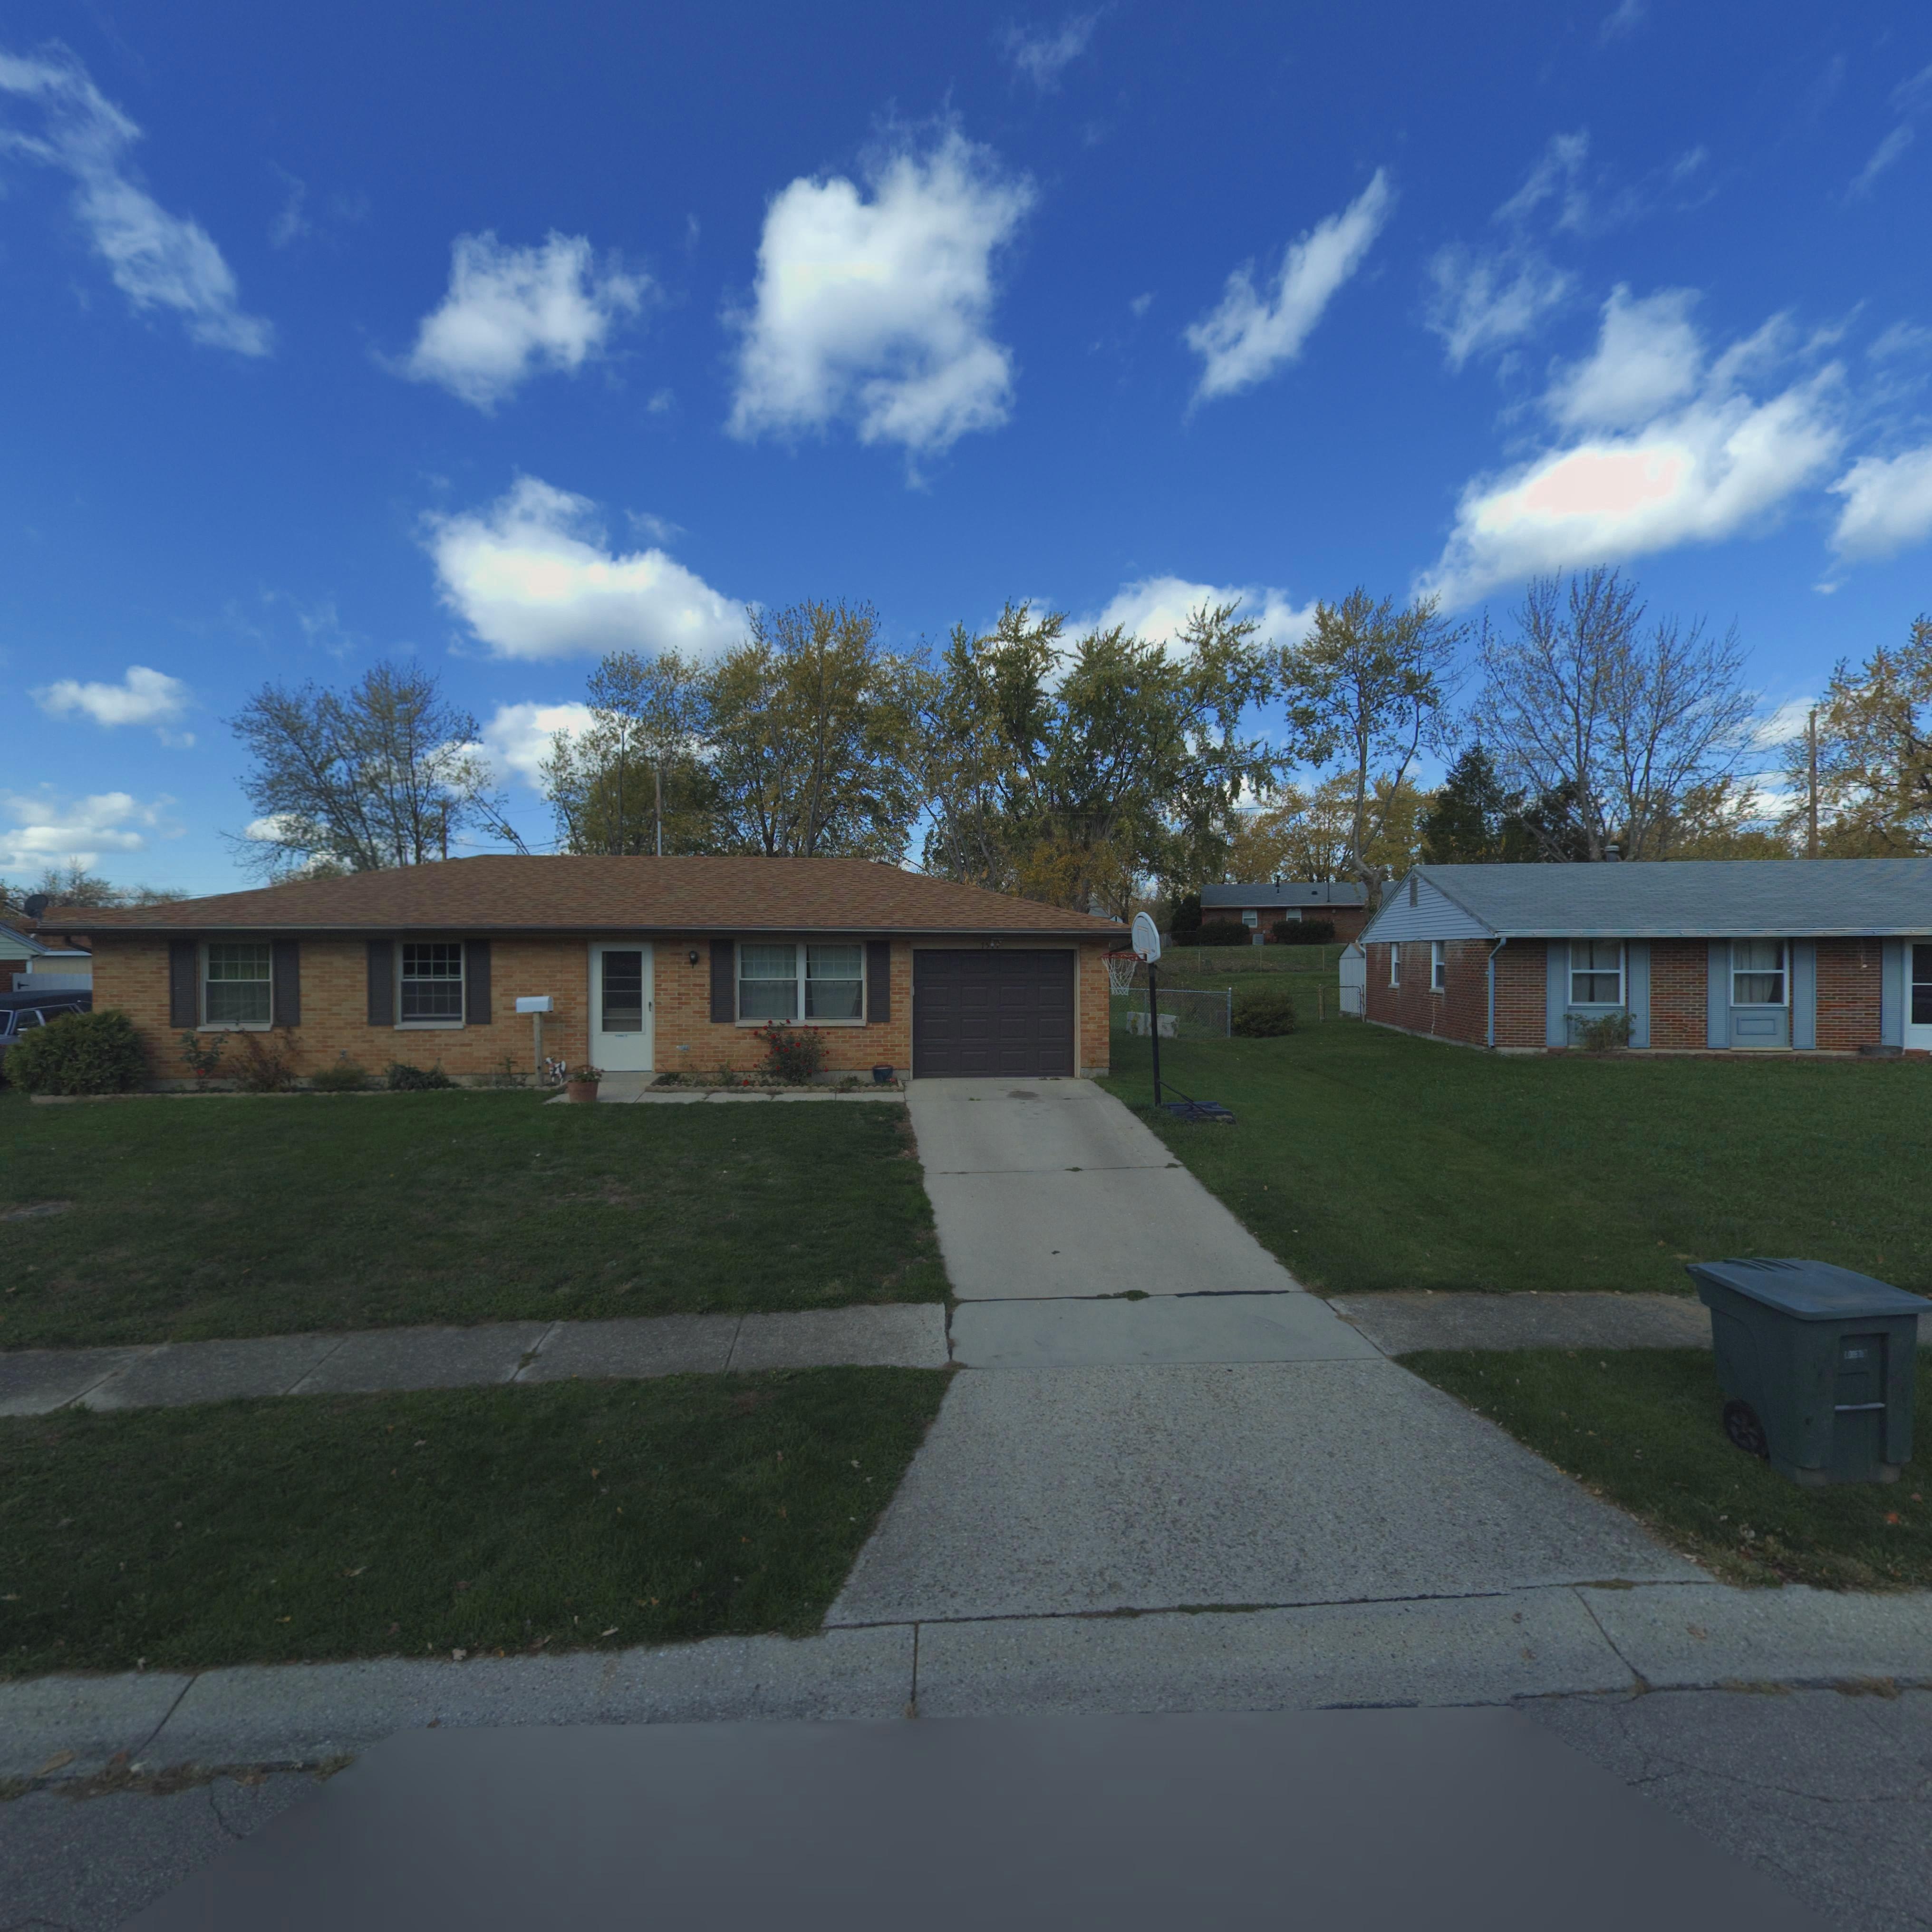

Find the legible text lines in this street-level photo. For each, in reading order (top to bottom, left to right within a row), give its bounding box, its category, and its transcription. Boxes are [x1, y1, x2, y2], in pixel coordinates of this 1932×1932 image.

[980, 942, 989, 949] StreetNumber: 75